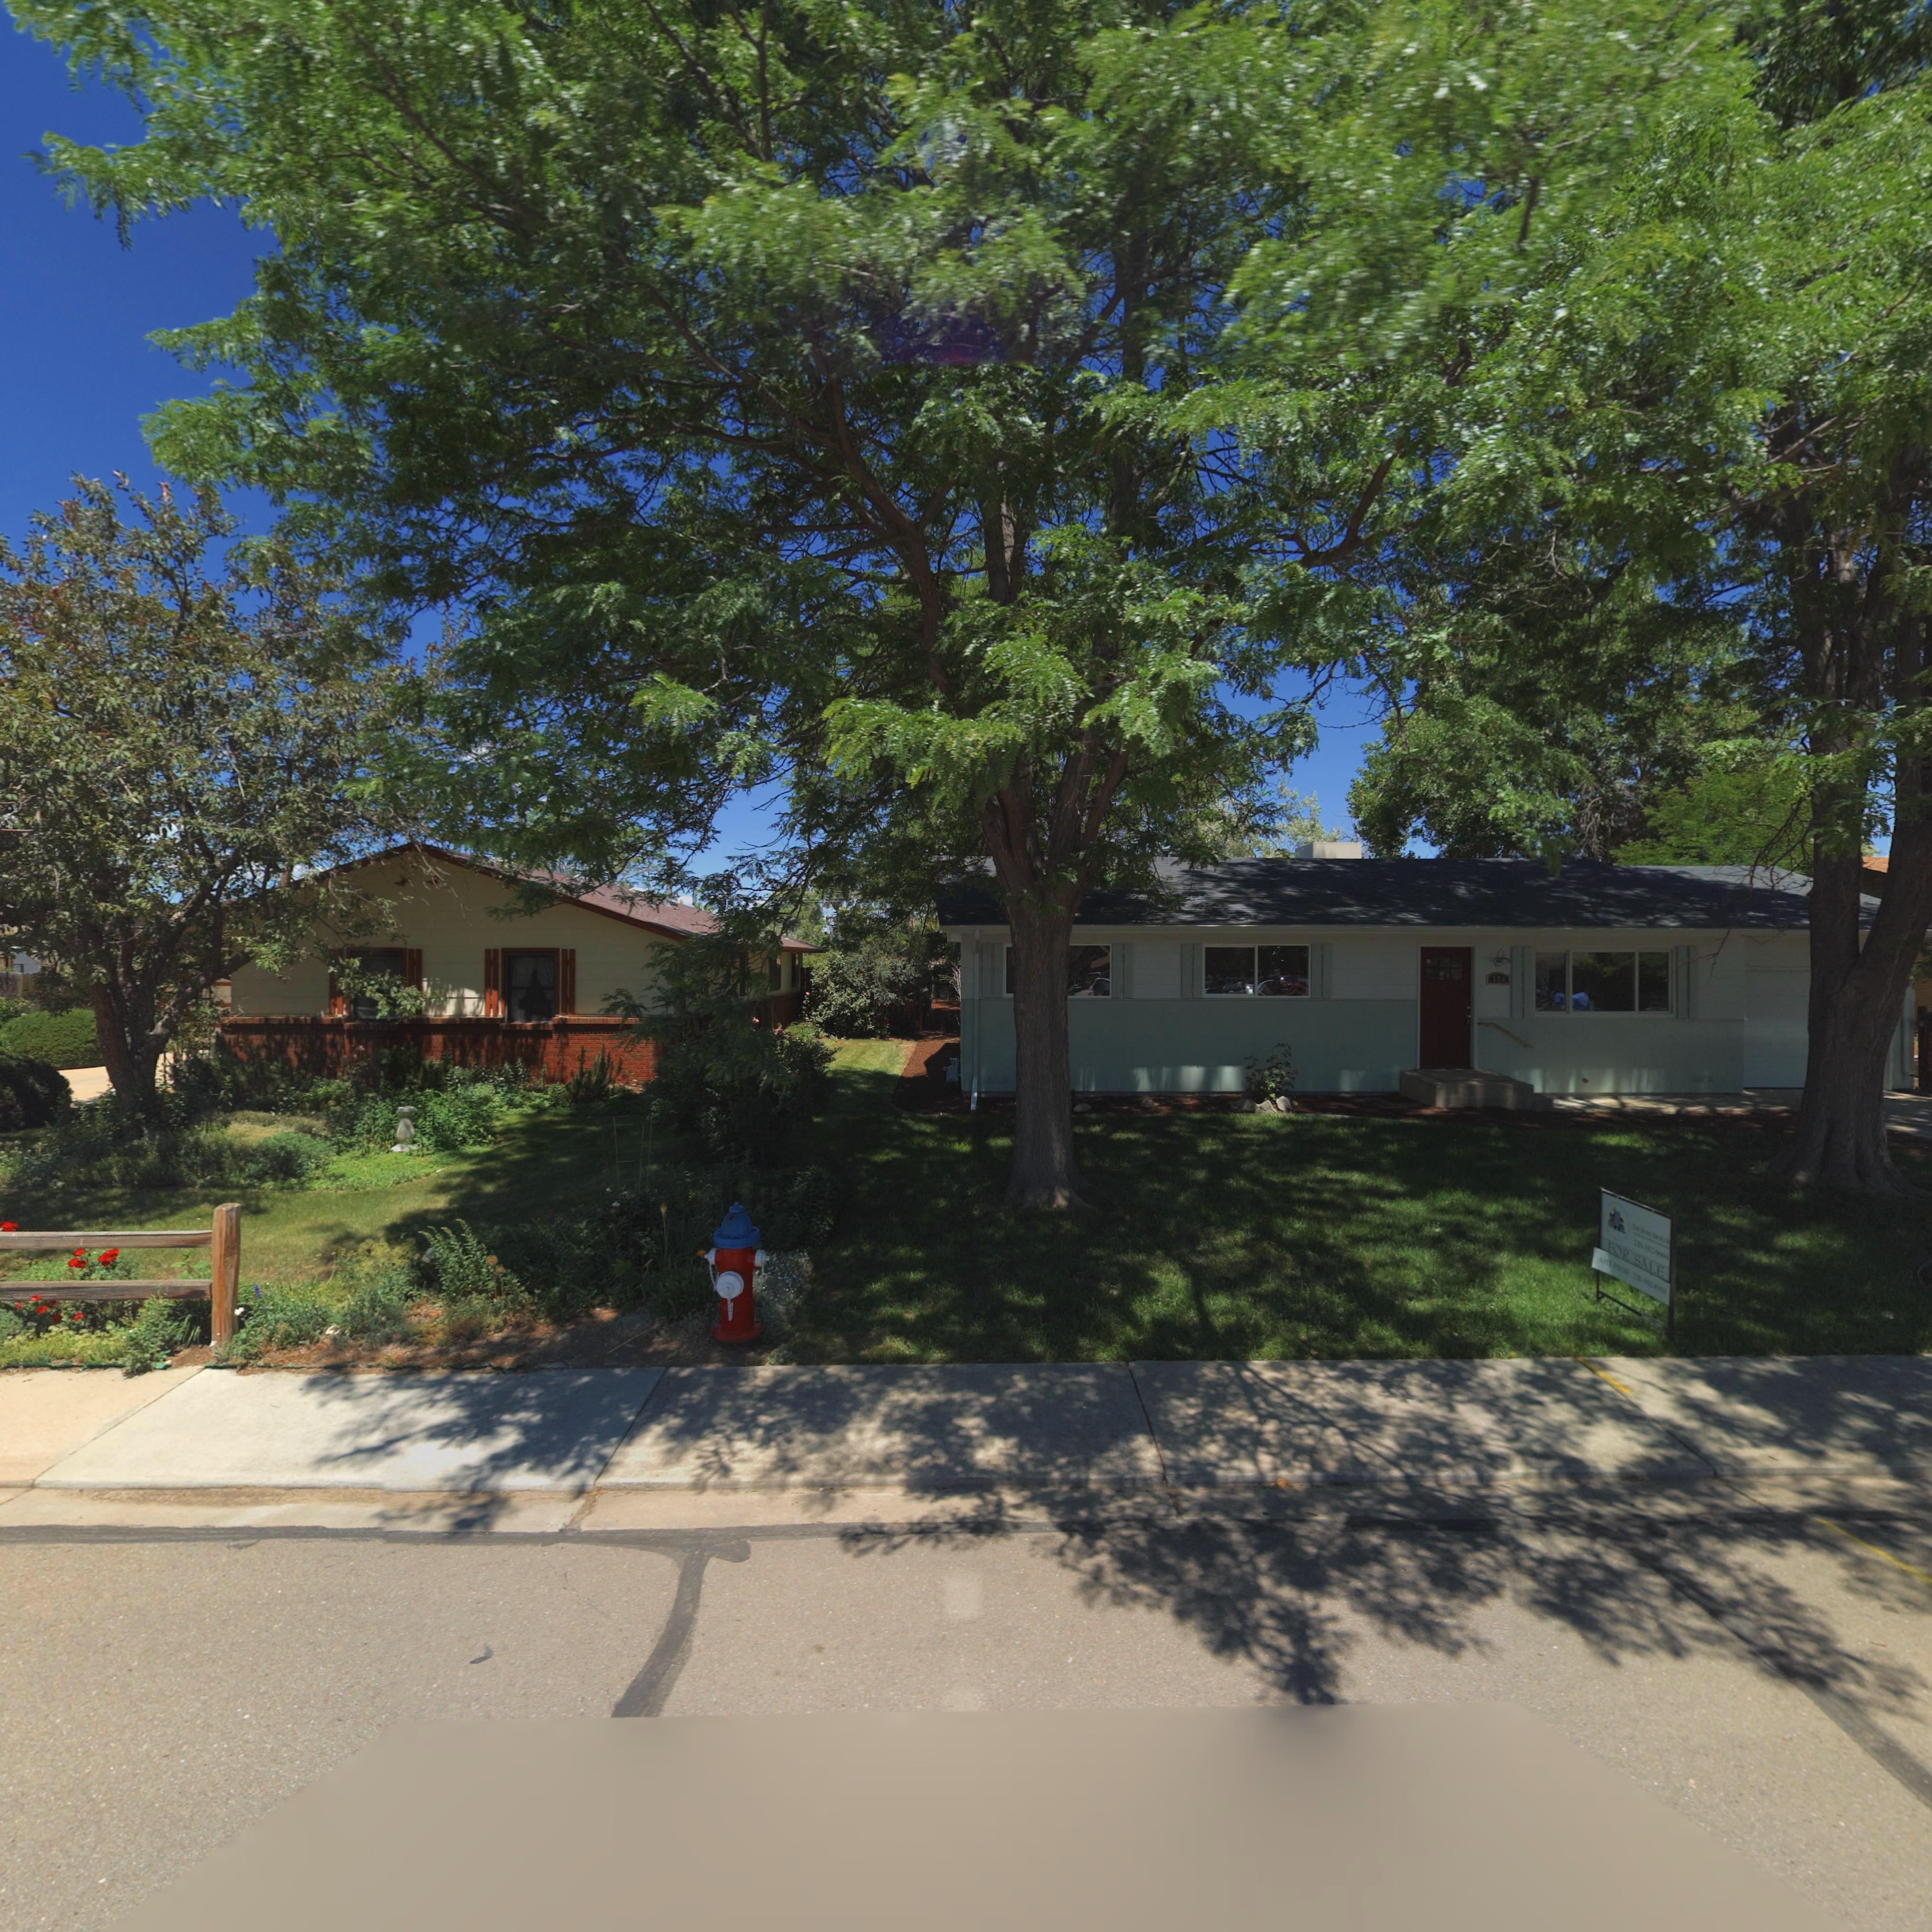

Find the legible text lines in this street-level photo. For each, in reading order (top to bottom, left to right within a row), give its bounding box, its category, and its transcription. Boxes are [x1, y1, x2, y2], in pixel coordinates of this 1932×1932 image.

[1492, 976, 1506, 983] StreetNumber: 121